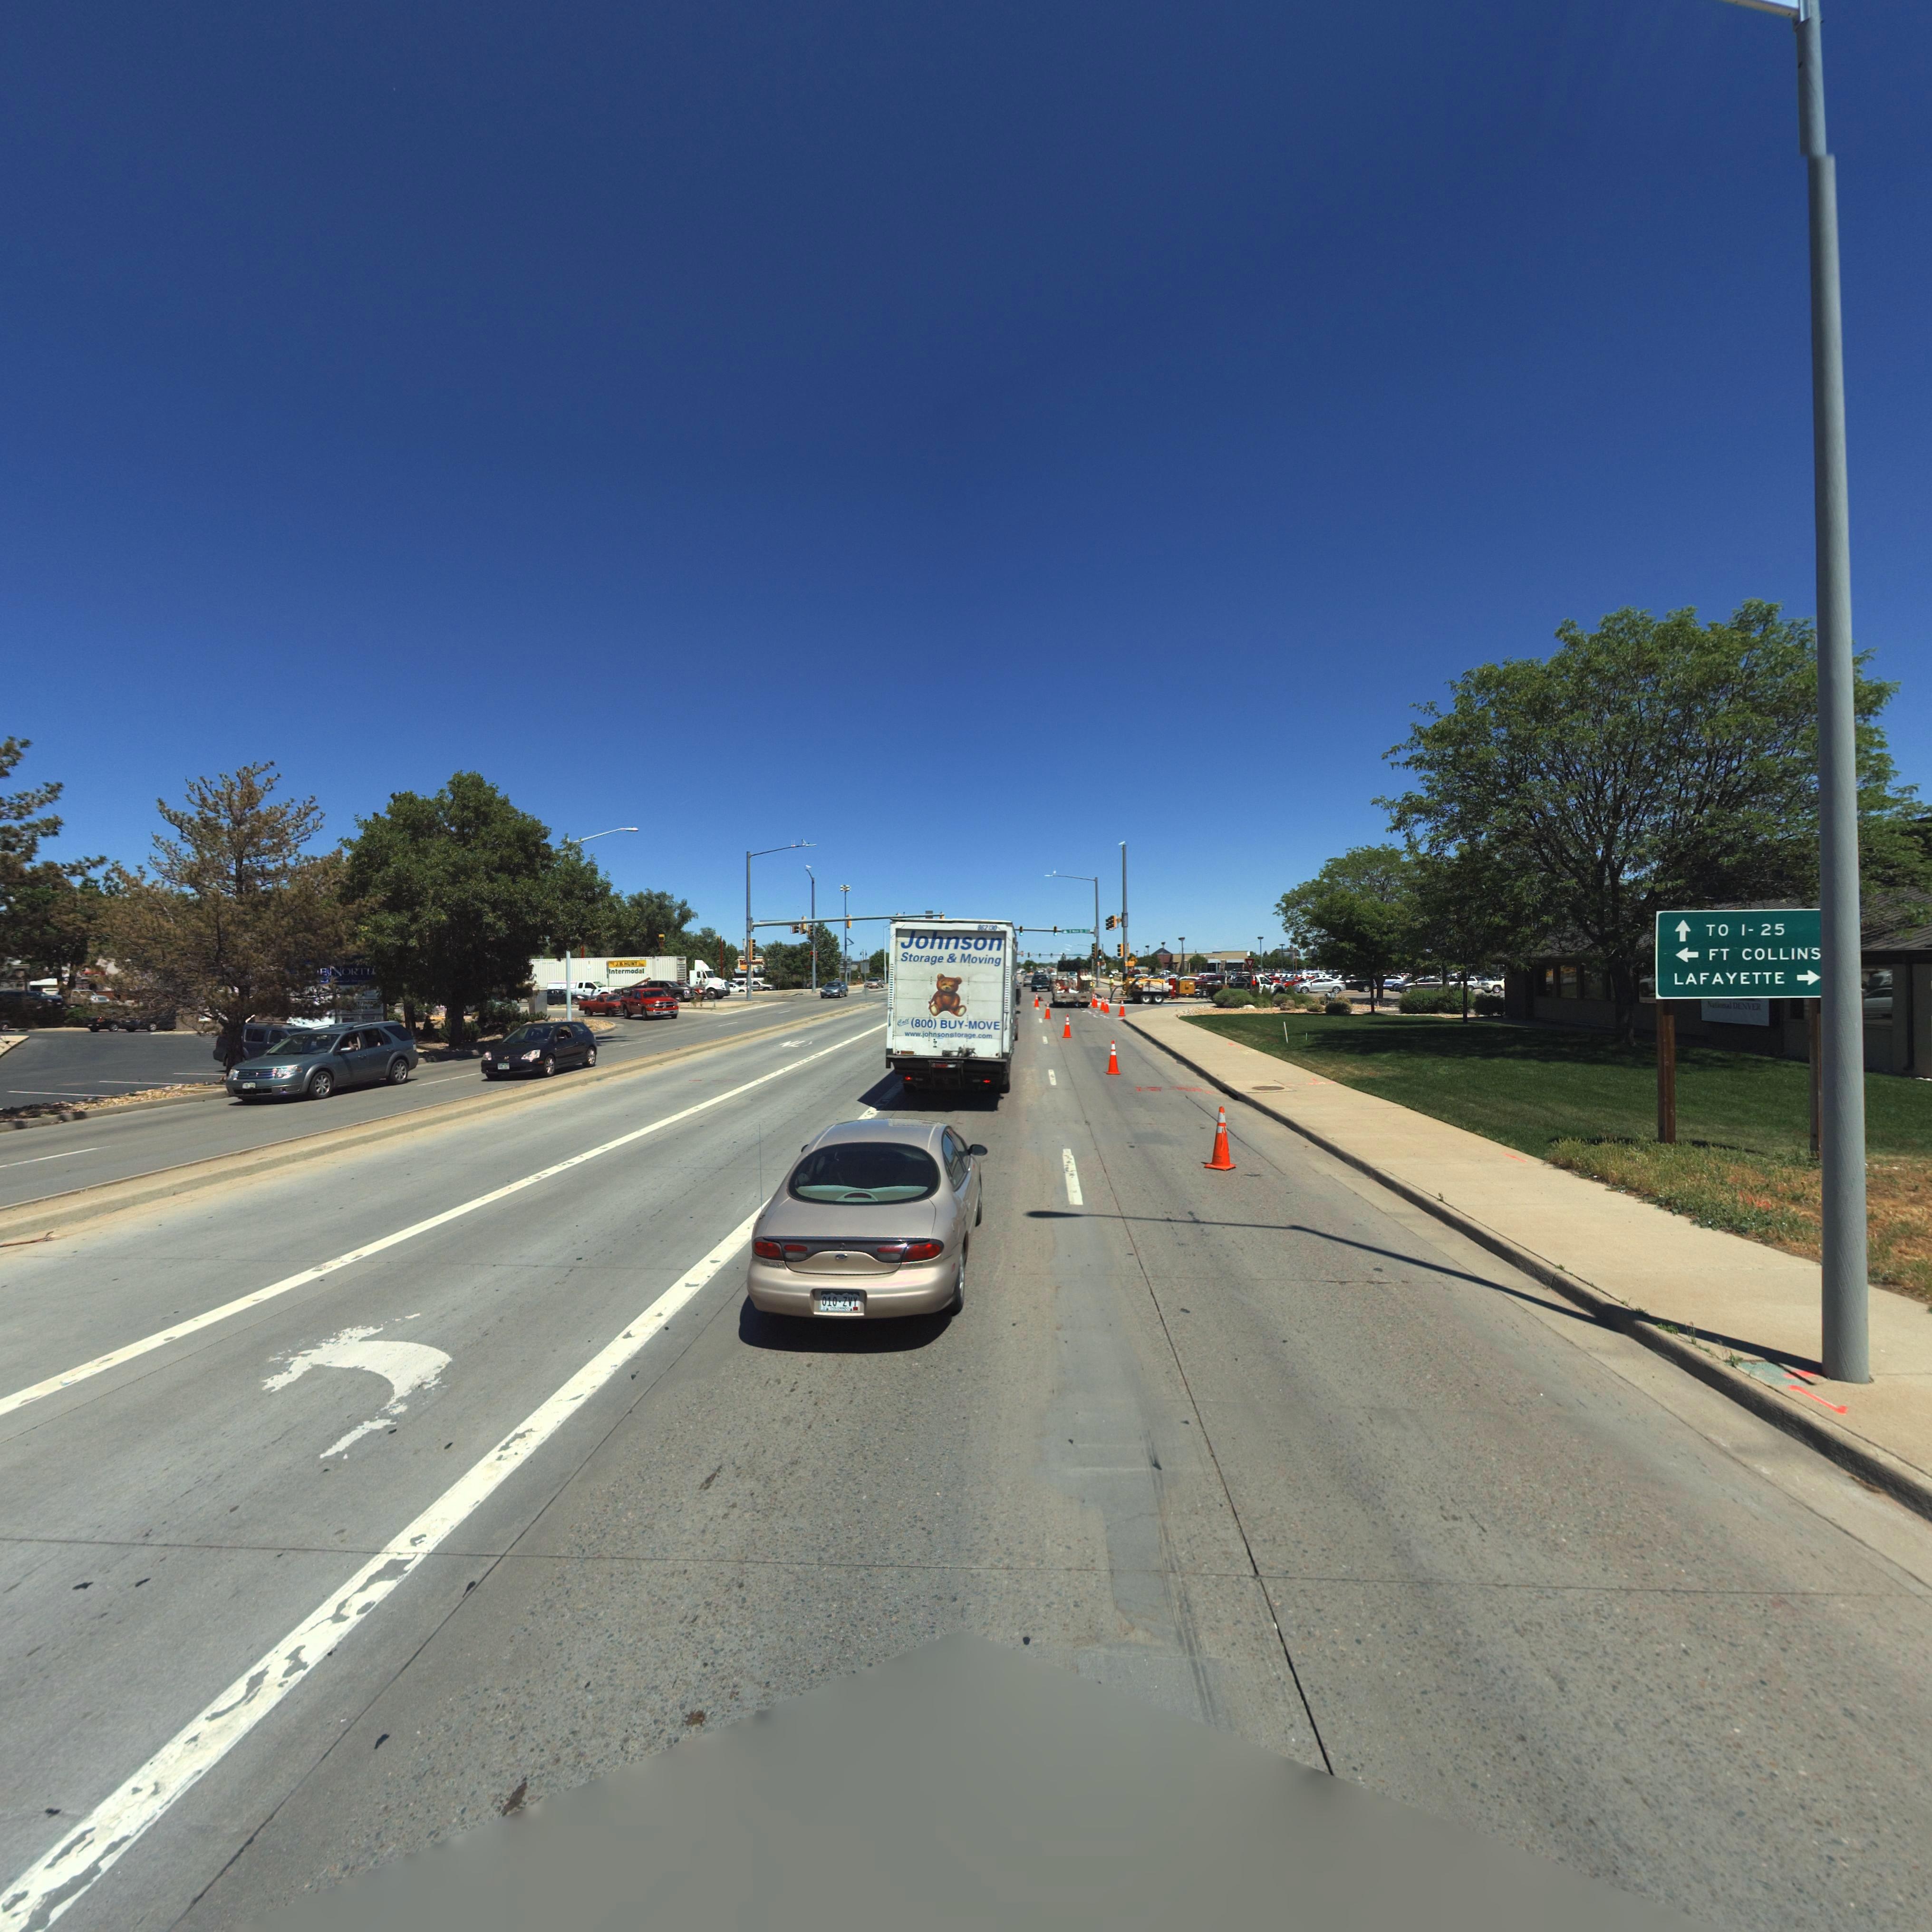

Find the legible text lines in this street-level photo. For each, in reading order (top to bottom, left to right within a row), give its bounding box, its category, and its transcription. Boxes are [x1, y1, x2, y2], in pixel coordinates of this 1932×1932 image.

[1068, 929, 1083, 932] StreetName: S **** S*
[739, 959, 763, 965] BusinessName: W********
[300, 964, 376, 977] BusinessName: **E NORTH
[1706, 999, 1762, 1011] BusinessName: Natio*al DENVER